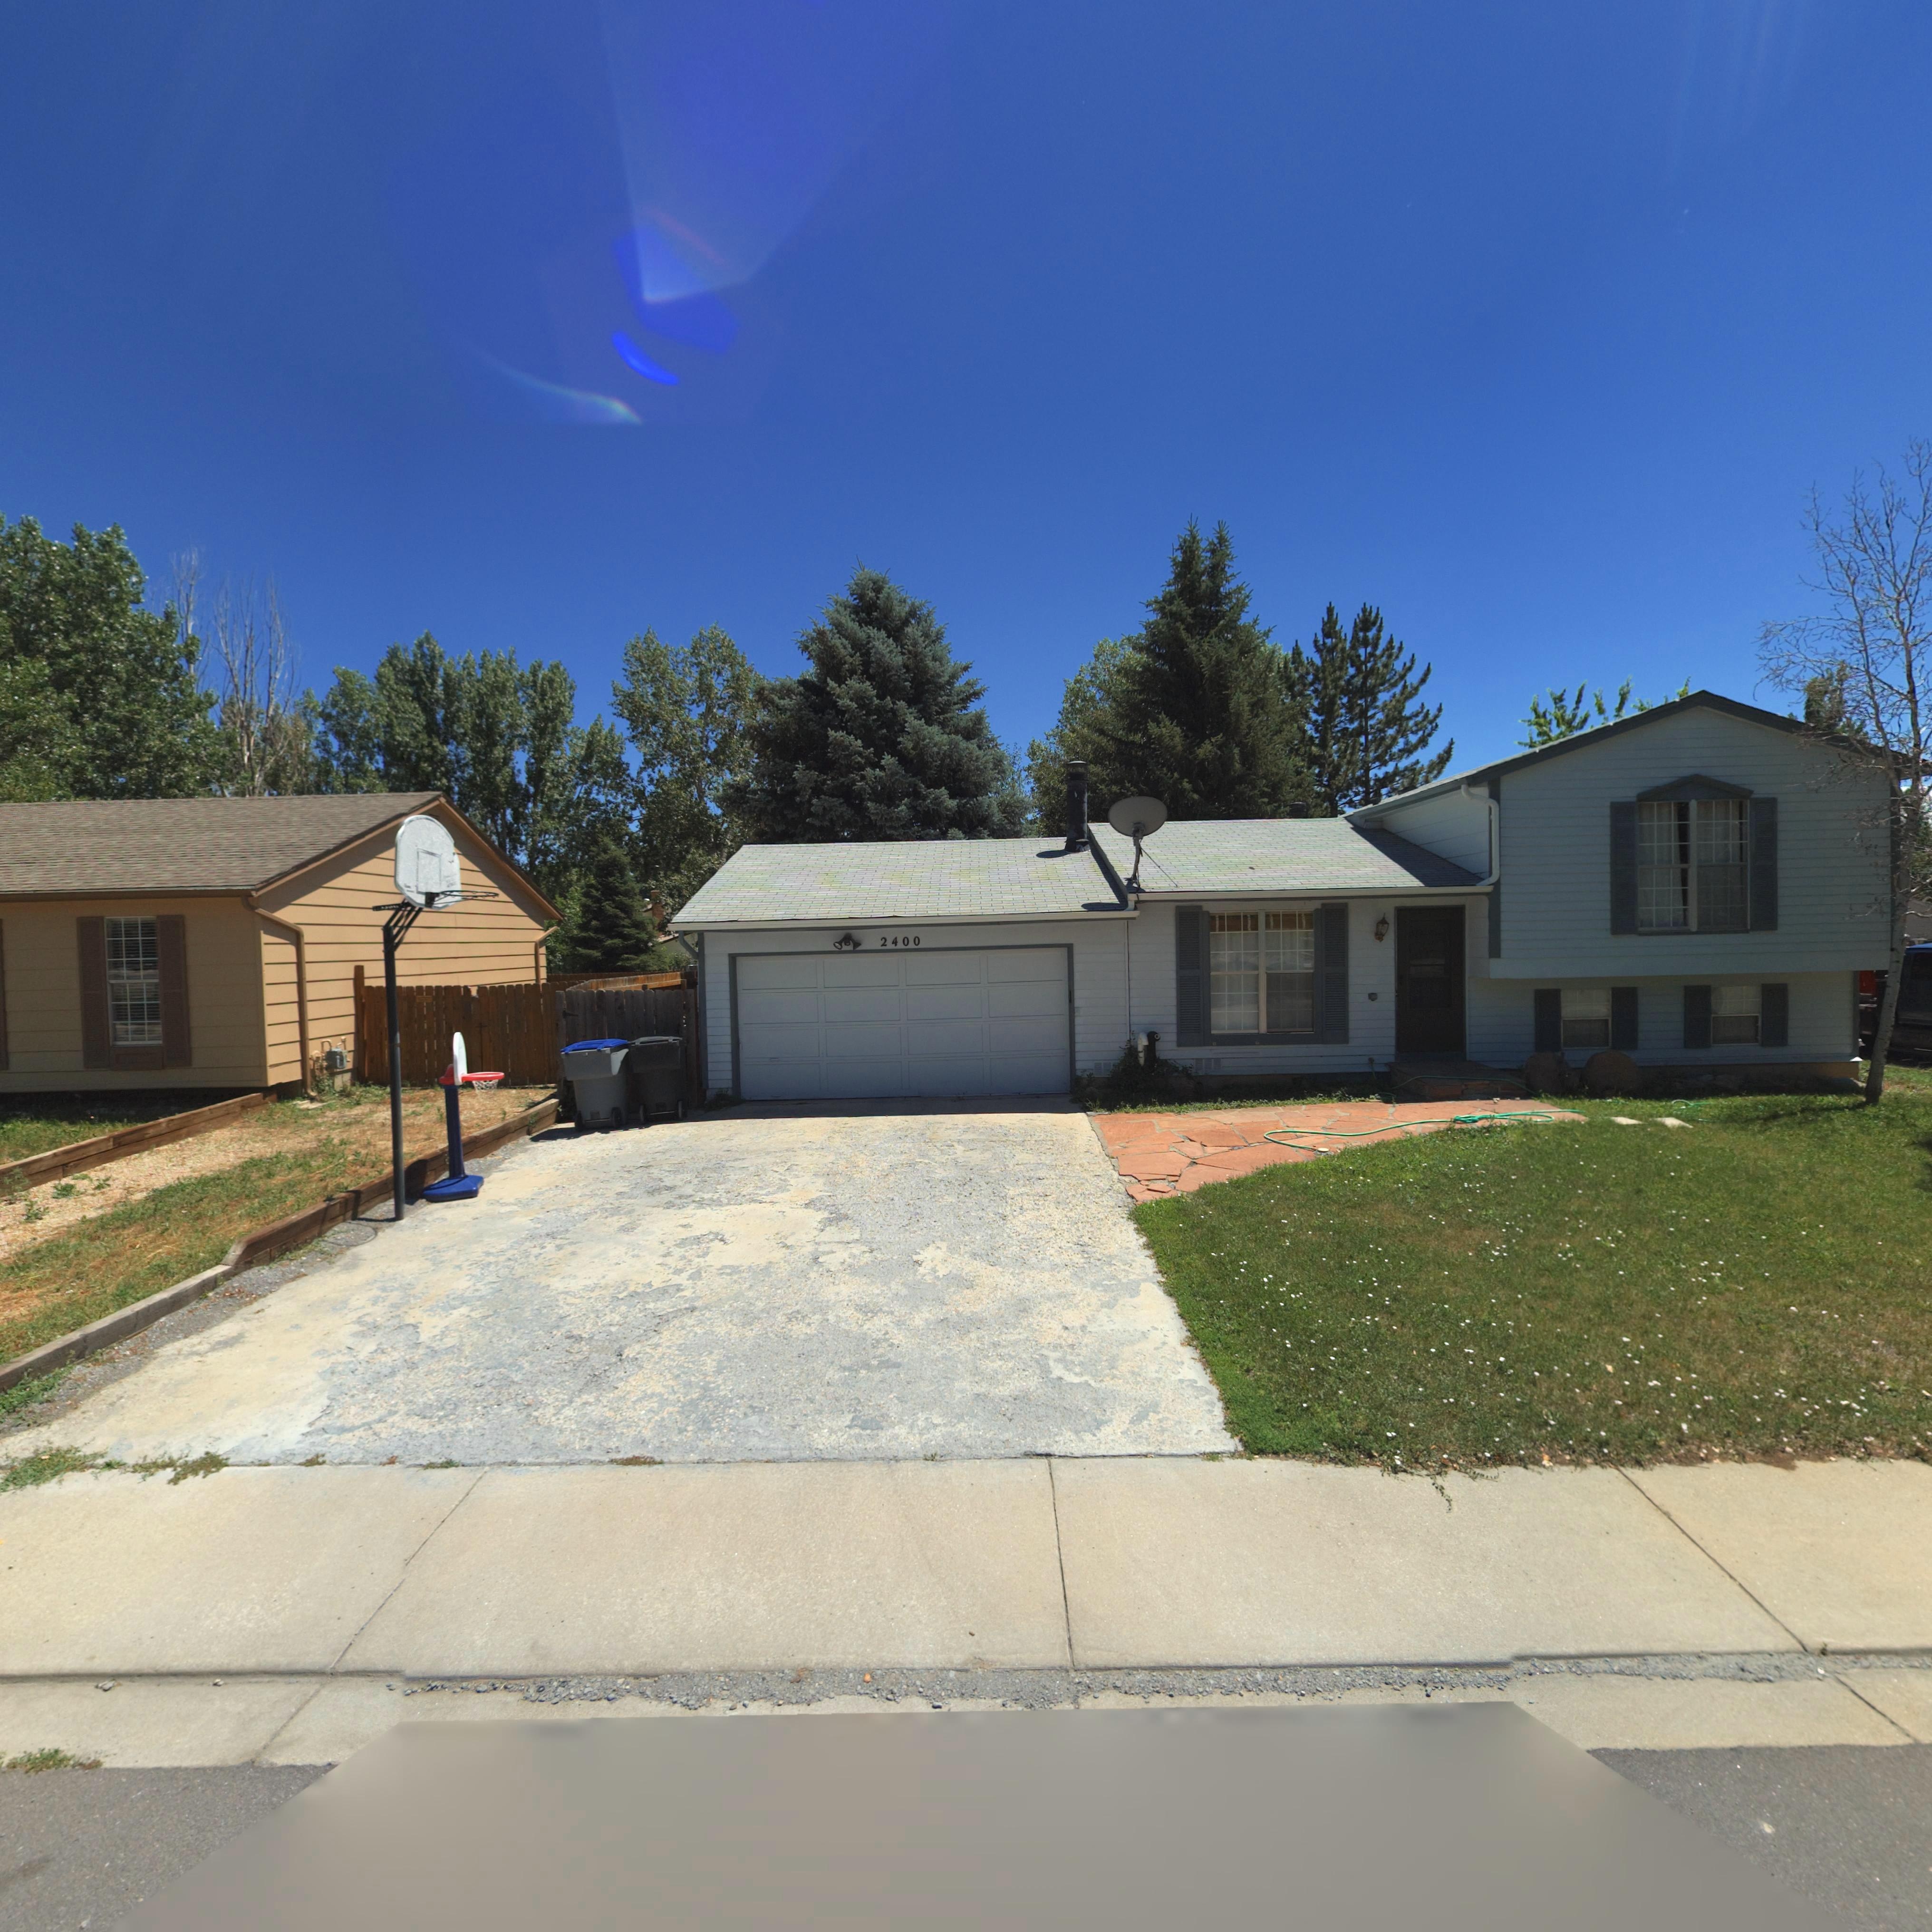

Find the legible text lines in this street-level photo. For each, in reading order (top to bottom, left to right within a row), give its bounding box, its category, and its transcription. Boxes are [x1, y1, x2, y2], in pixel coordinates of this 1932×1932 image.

[879, 936, 920, 947] StreetNumber: 2400